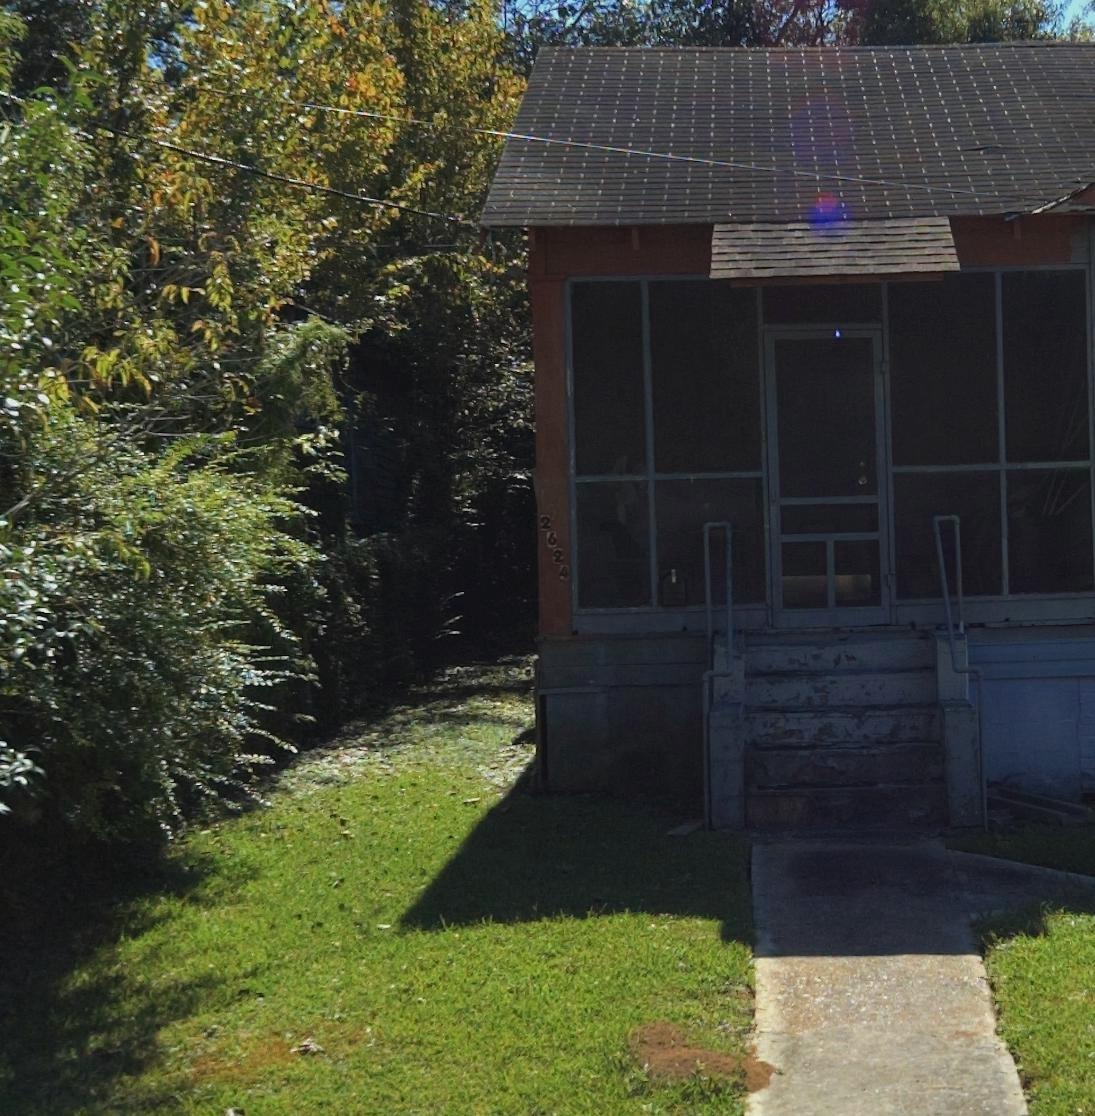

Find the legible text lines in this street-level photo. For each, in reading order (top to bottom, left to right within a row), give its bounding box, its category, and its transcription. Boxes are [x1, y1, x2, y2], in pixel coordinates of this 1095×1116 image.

[536, 512, 573, 583] StreetNumber: 2624